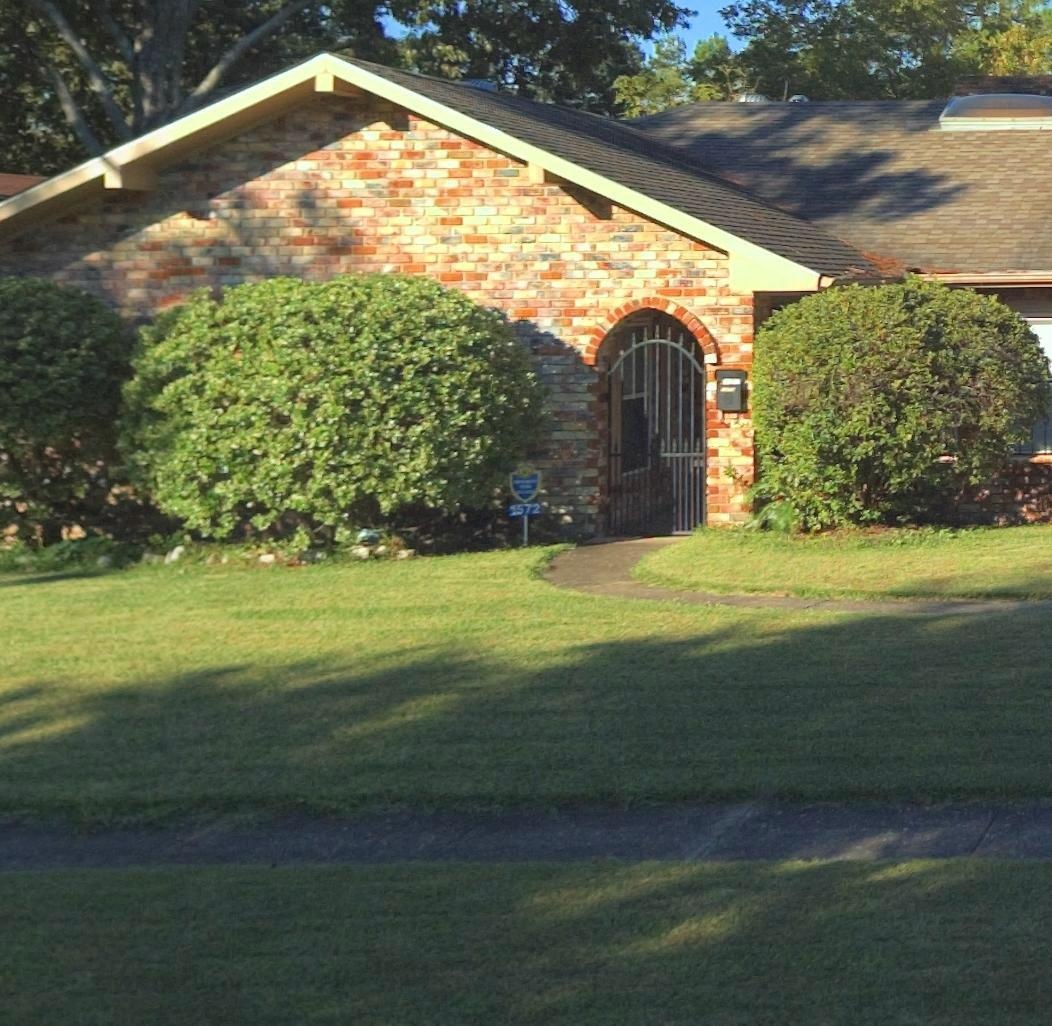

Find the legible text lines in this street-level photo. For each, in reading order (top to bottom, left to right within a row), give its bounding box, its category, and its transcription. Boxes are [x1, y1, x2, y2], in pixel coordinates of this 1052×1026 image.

[508, 502, 542, 518] StreetNumber: 1572